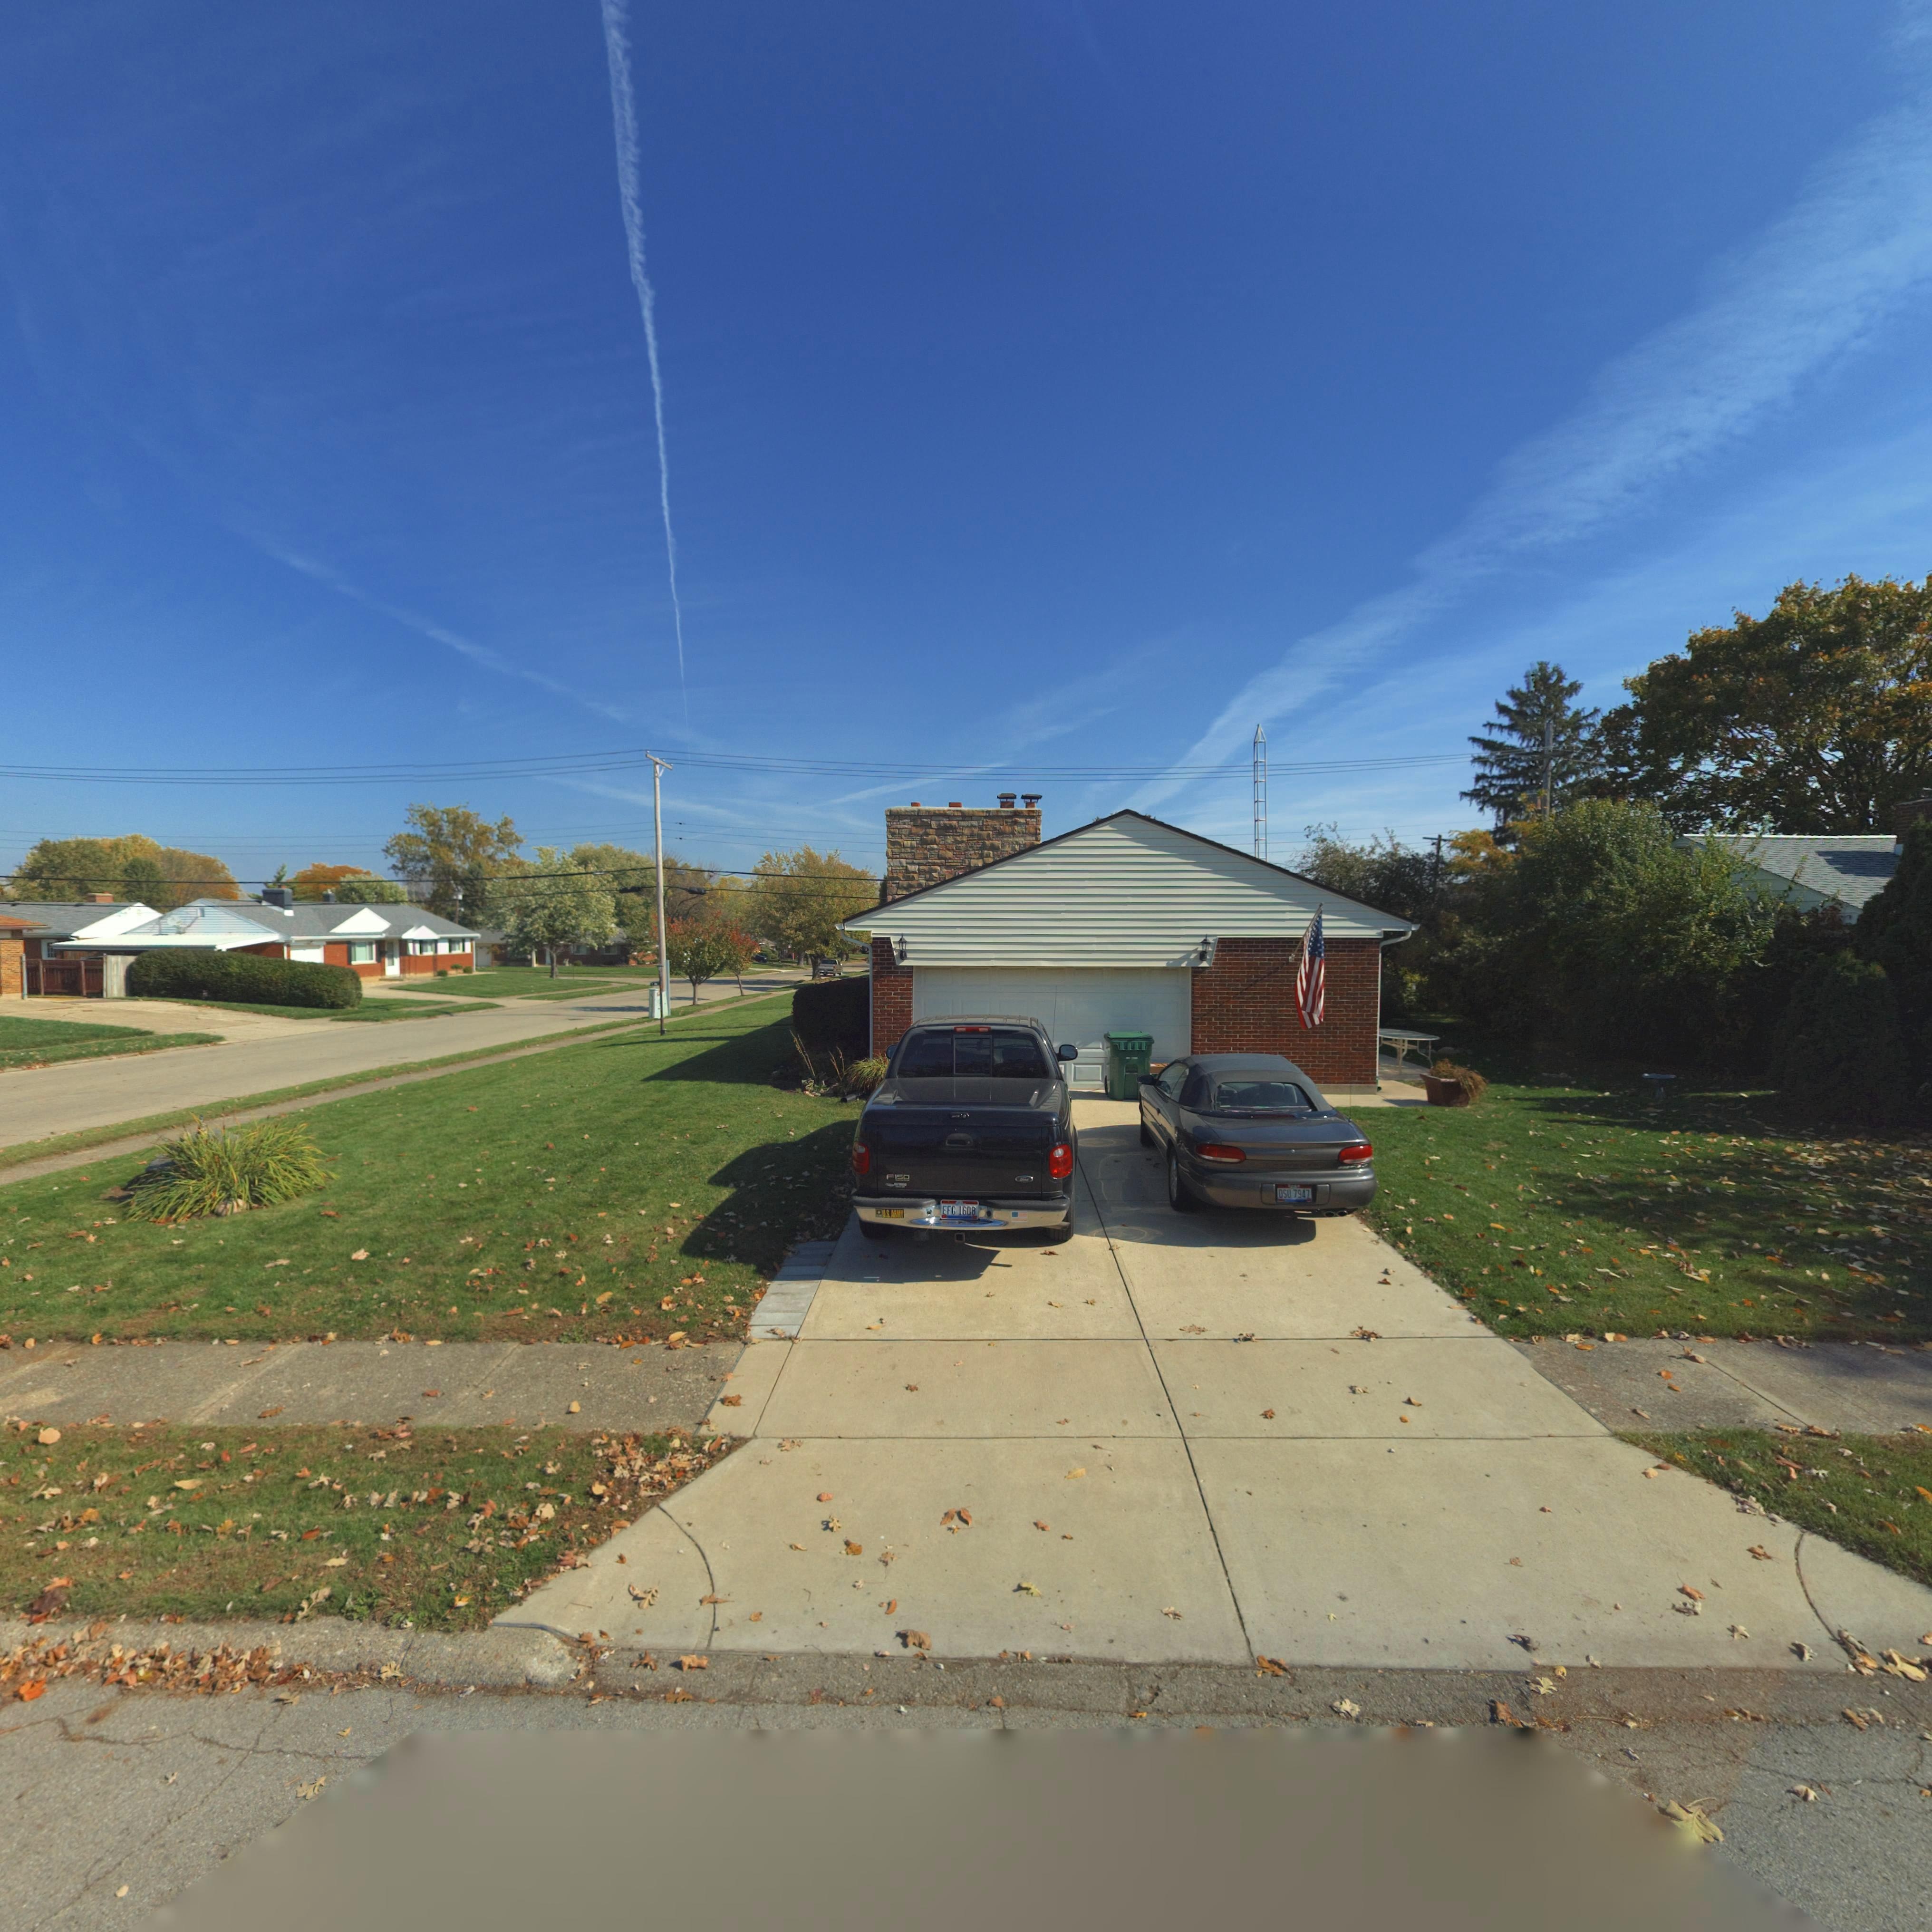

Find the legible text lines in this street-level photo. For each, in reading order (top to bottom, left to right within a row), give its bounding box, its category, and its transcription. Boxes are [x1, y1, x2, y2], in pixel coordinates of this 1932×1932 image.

[885, 1173, 910, 1181] None: F150
[1278, 1188, 1312, 1200] None: OSU 7947
[881, 1208, 904, 1219] None: U.S. ARMY
[942, 1204, 977, 1217] None: *FG 1608